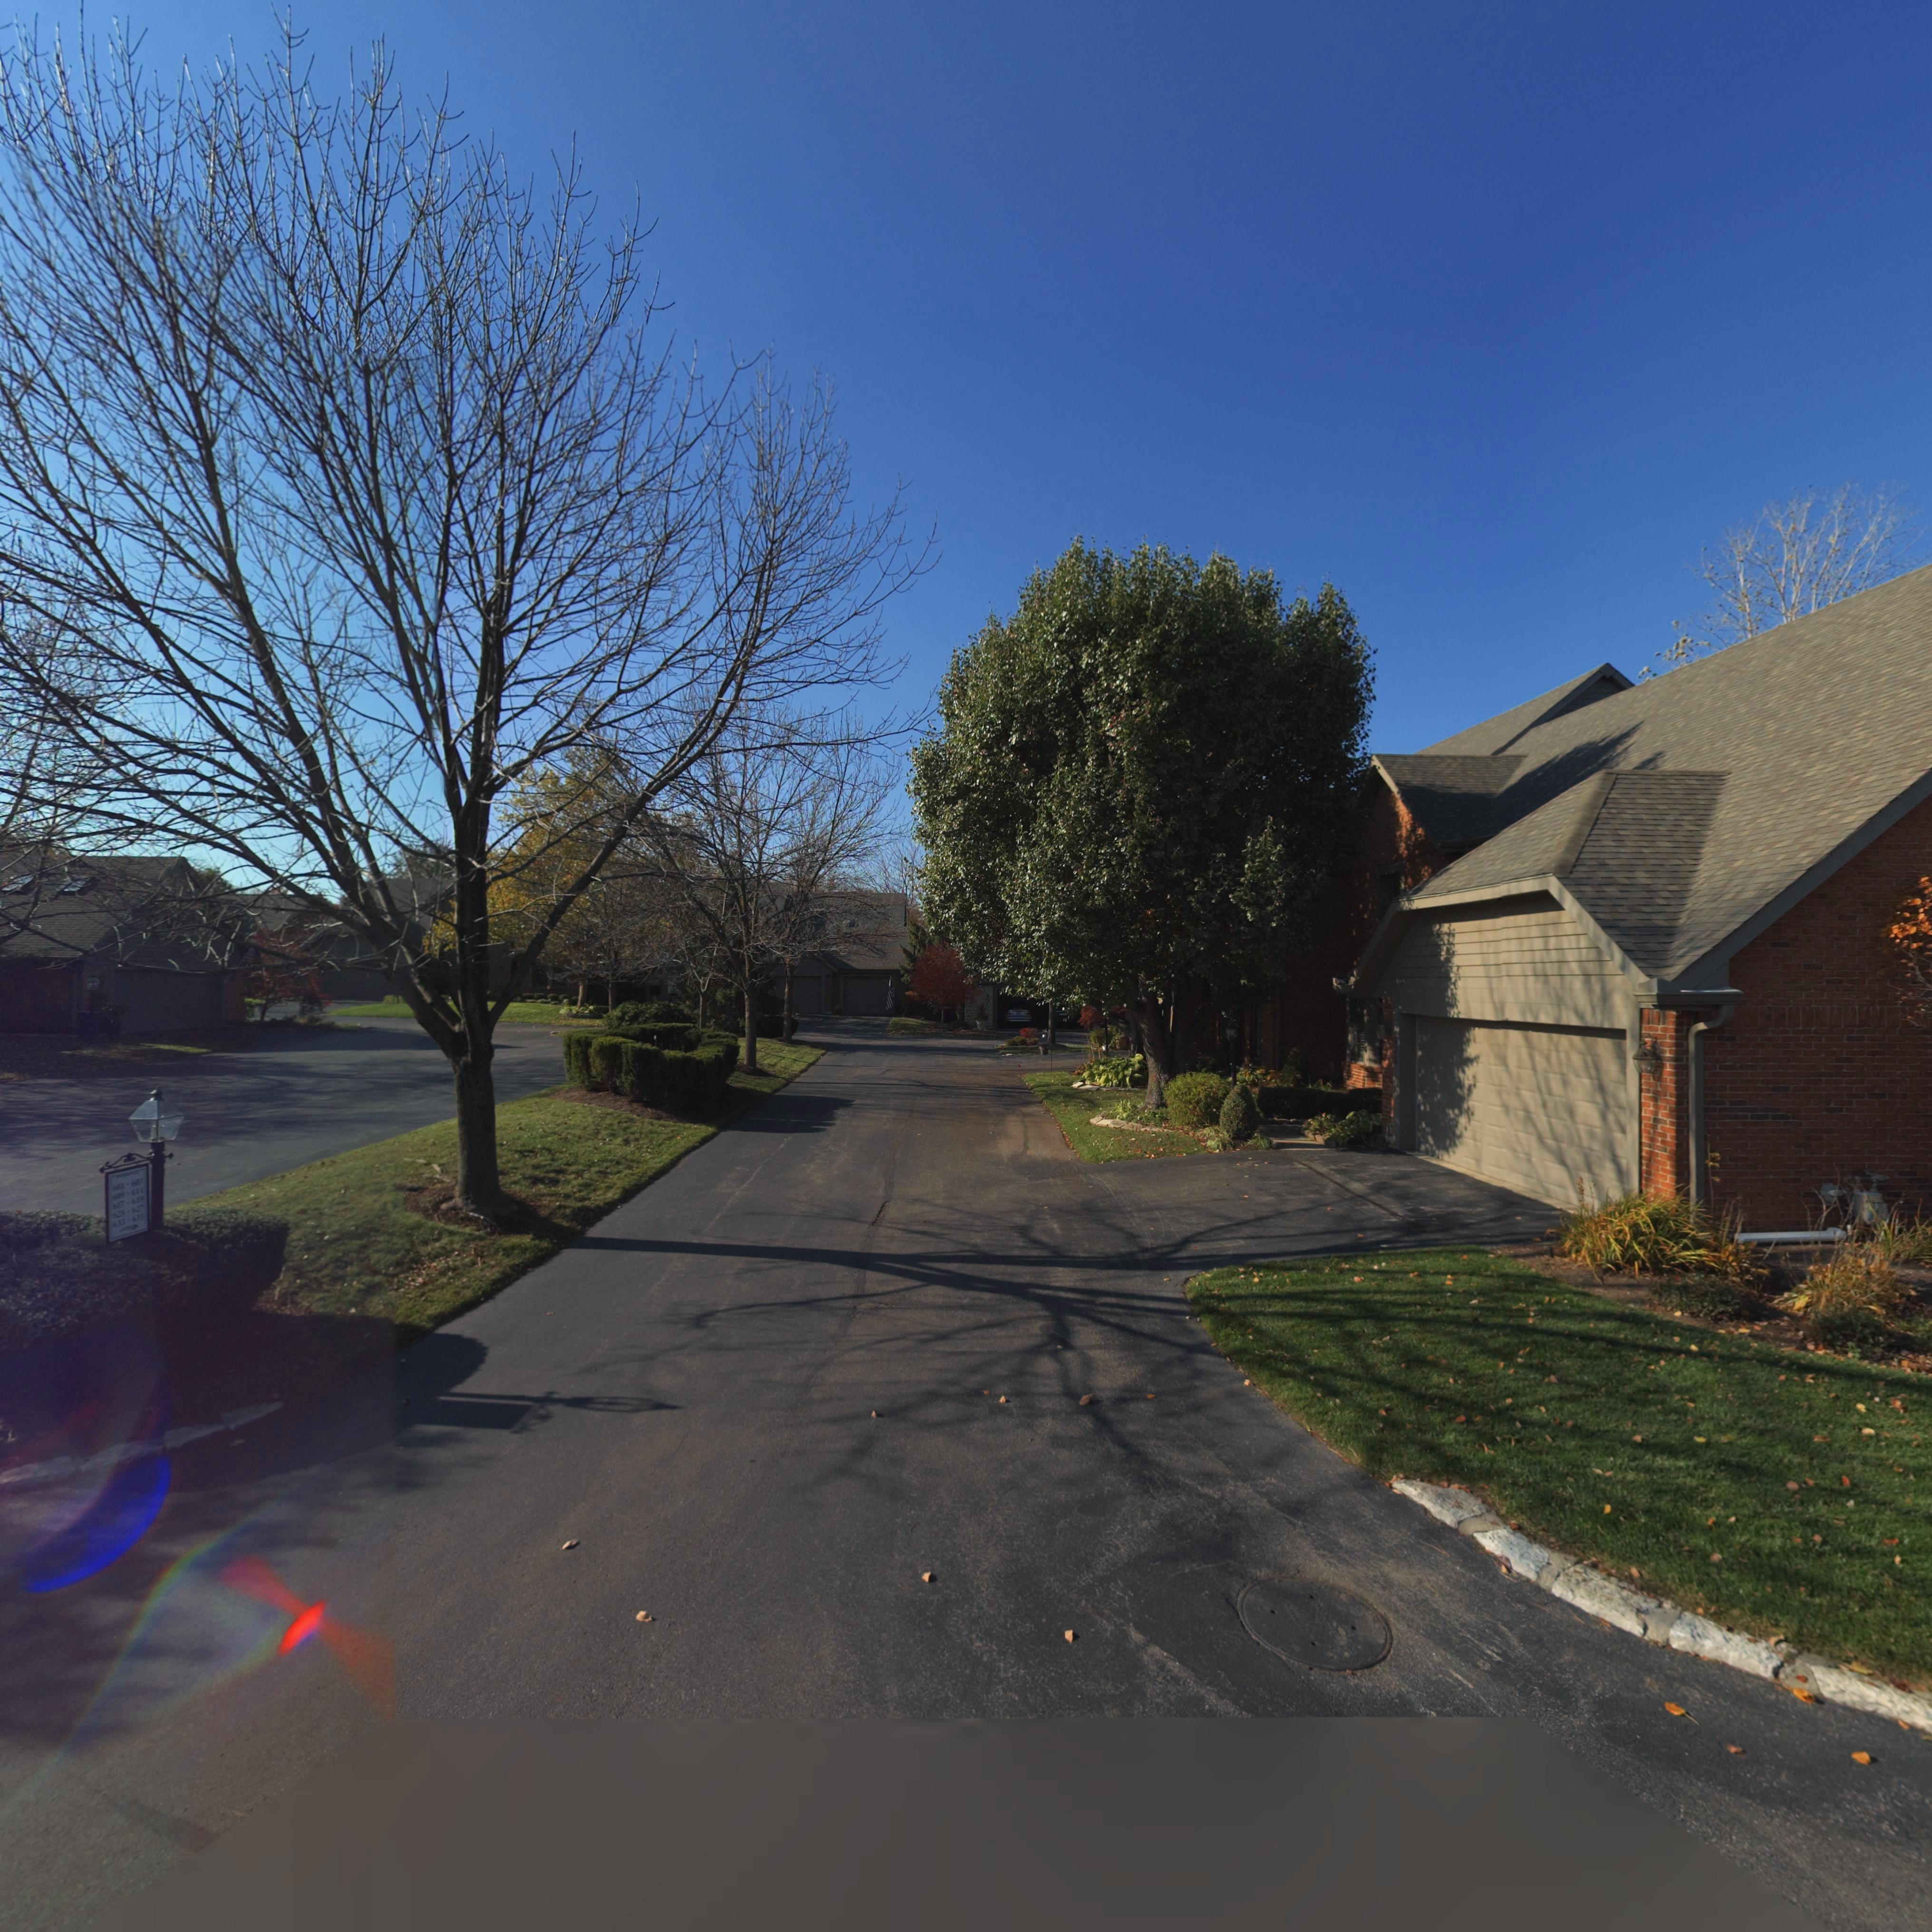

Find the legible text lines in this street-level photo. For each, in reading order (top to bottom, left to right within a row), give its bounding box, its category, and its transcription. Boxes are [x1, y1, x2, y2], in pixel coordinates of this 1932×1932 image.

[1393, 1036, 1399, 1064] StreetNumber: 635
[111, 1199, 125, 1211] StreetNumber: 617
[112, 1181, 125, 1192] StreetNumber: 601
[111, 1208, 126, 1220] StreetNumber: 625
[112, 1191, 126, 1202] StreetNumber: 609s
[130, 1177, 144, 1187] StreetNumber: 603
[130, 1186, 144, 1197] StreetNumber: 611
[130, 1203, 145, 1214] StreetNumber: 627
[131, 1212, 145, 1223] StreetNumber: 635
[131, 1195, 145, 1205] StreetNumber: 619
[112, 1217, 126, 1229] StreetNumber: 633